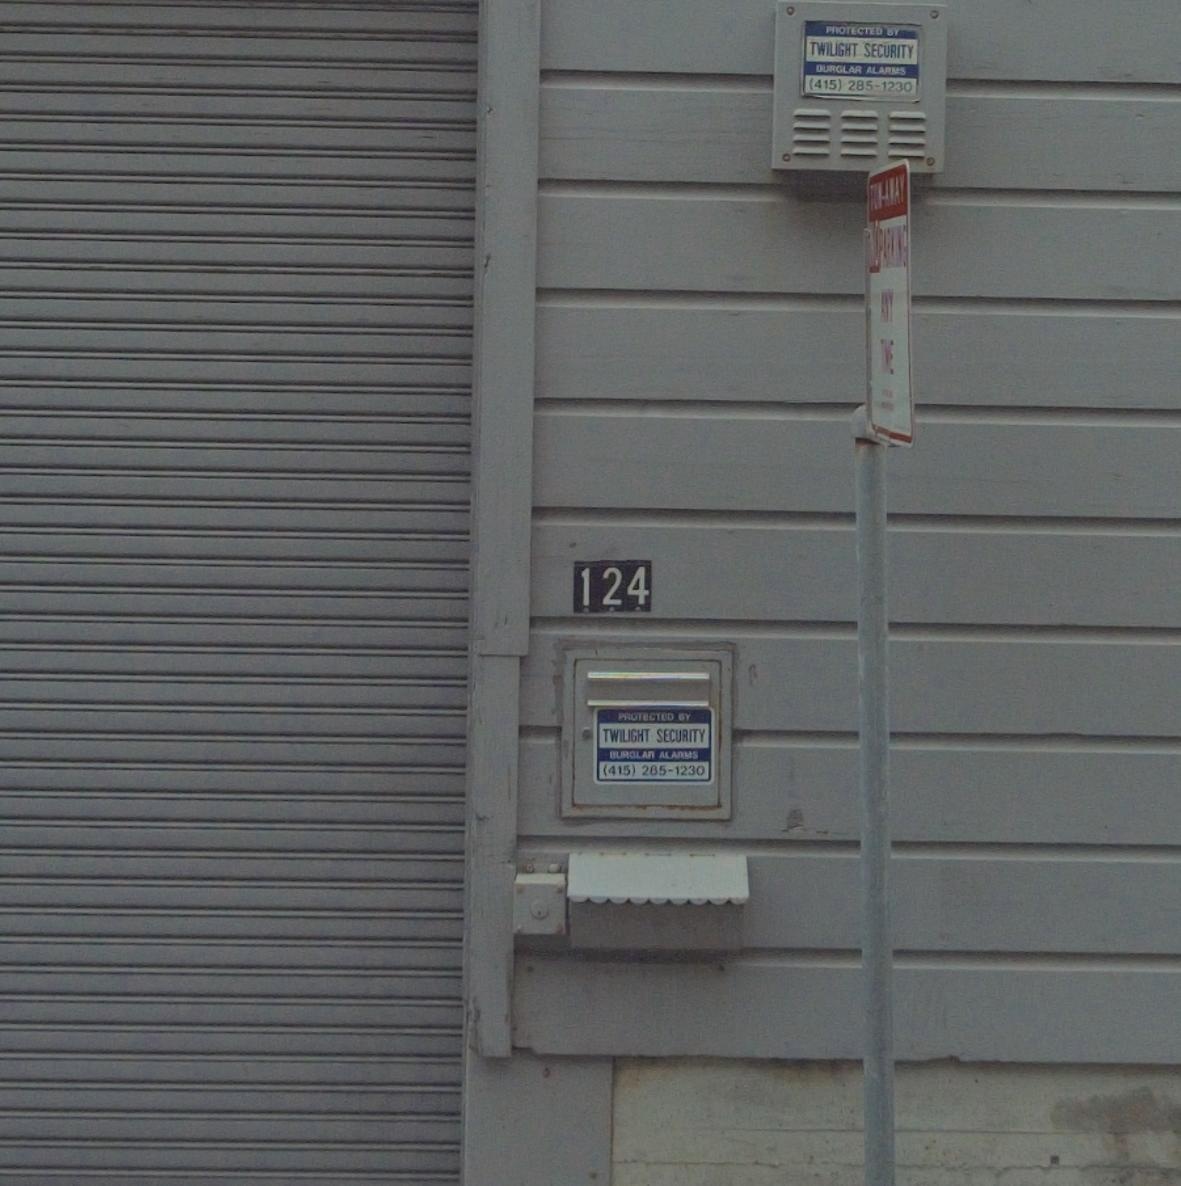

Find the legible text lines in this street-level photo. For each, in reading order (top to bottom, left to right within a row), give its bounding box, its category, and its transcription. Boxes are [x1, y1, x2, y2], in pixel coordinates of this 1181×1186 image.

[823, 22, 903, 39] None: PROTECTED BY
[806, 38, 919, 62] None: TWILIGHT SECURITY
[813, 60, 910, 79] None: BURGLAR ALARMS
[812, 76, 915, 95] None: 415) 285-1230
[865, 168, 908, 215] None: TOW-AWAY
[578, 564, 653, 608] StreetNumber: 124
[616, 710, 693, 723] None: PROTECTED BY
[600, 726, 708, 745] None: TWILIGHT SECURITY
[608, 748, 701, 762] None: BURGLAR ALARMS
[606, 762, 707, 779] None: 415) 285-1230